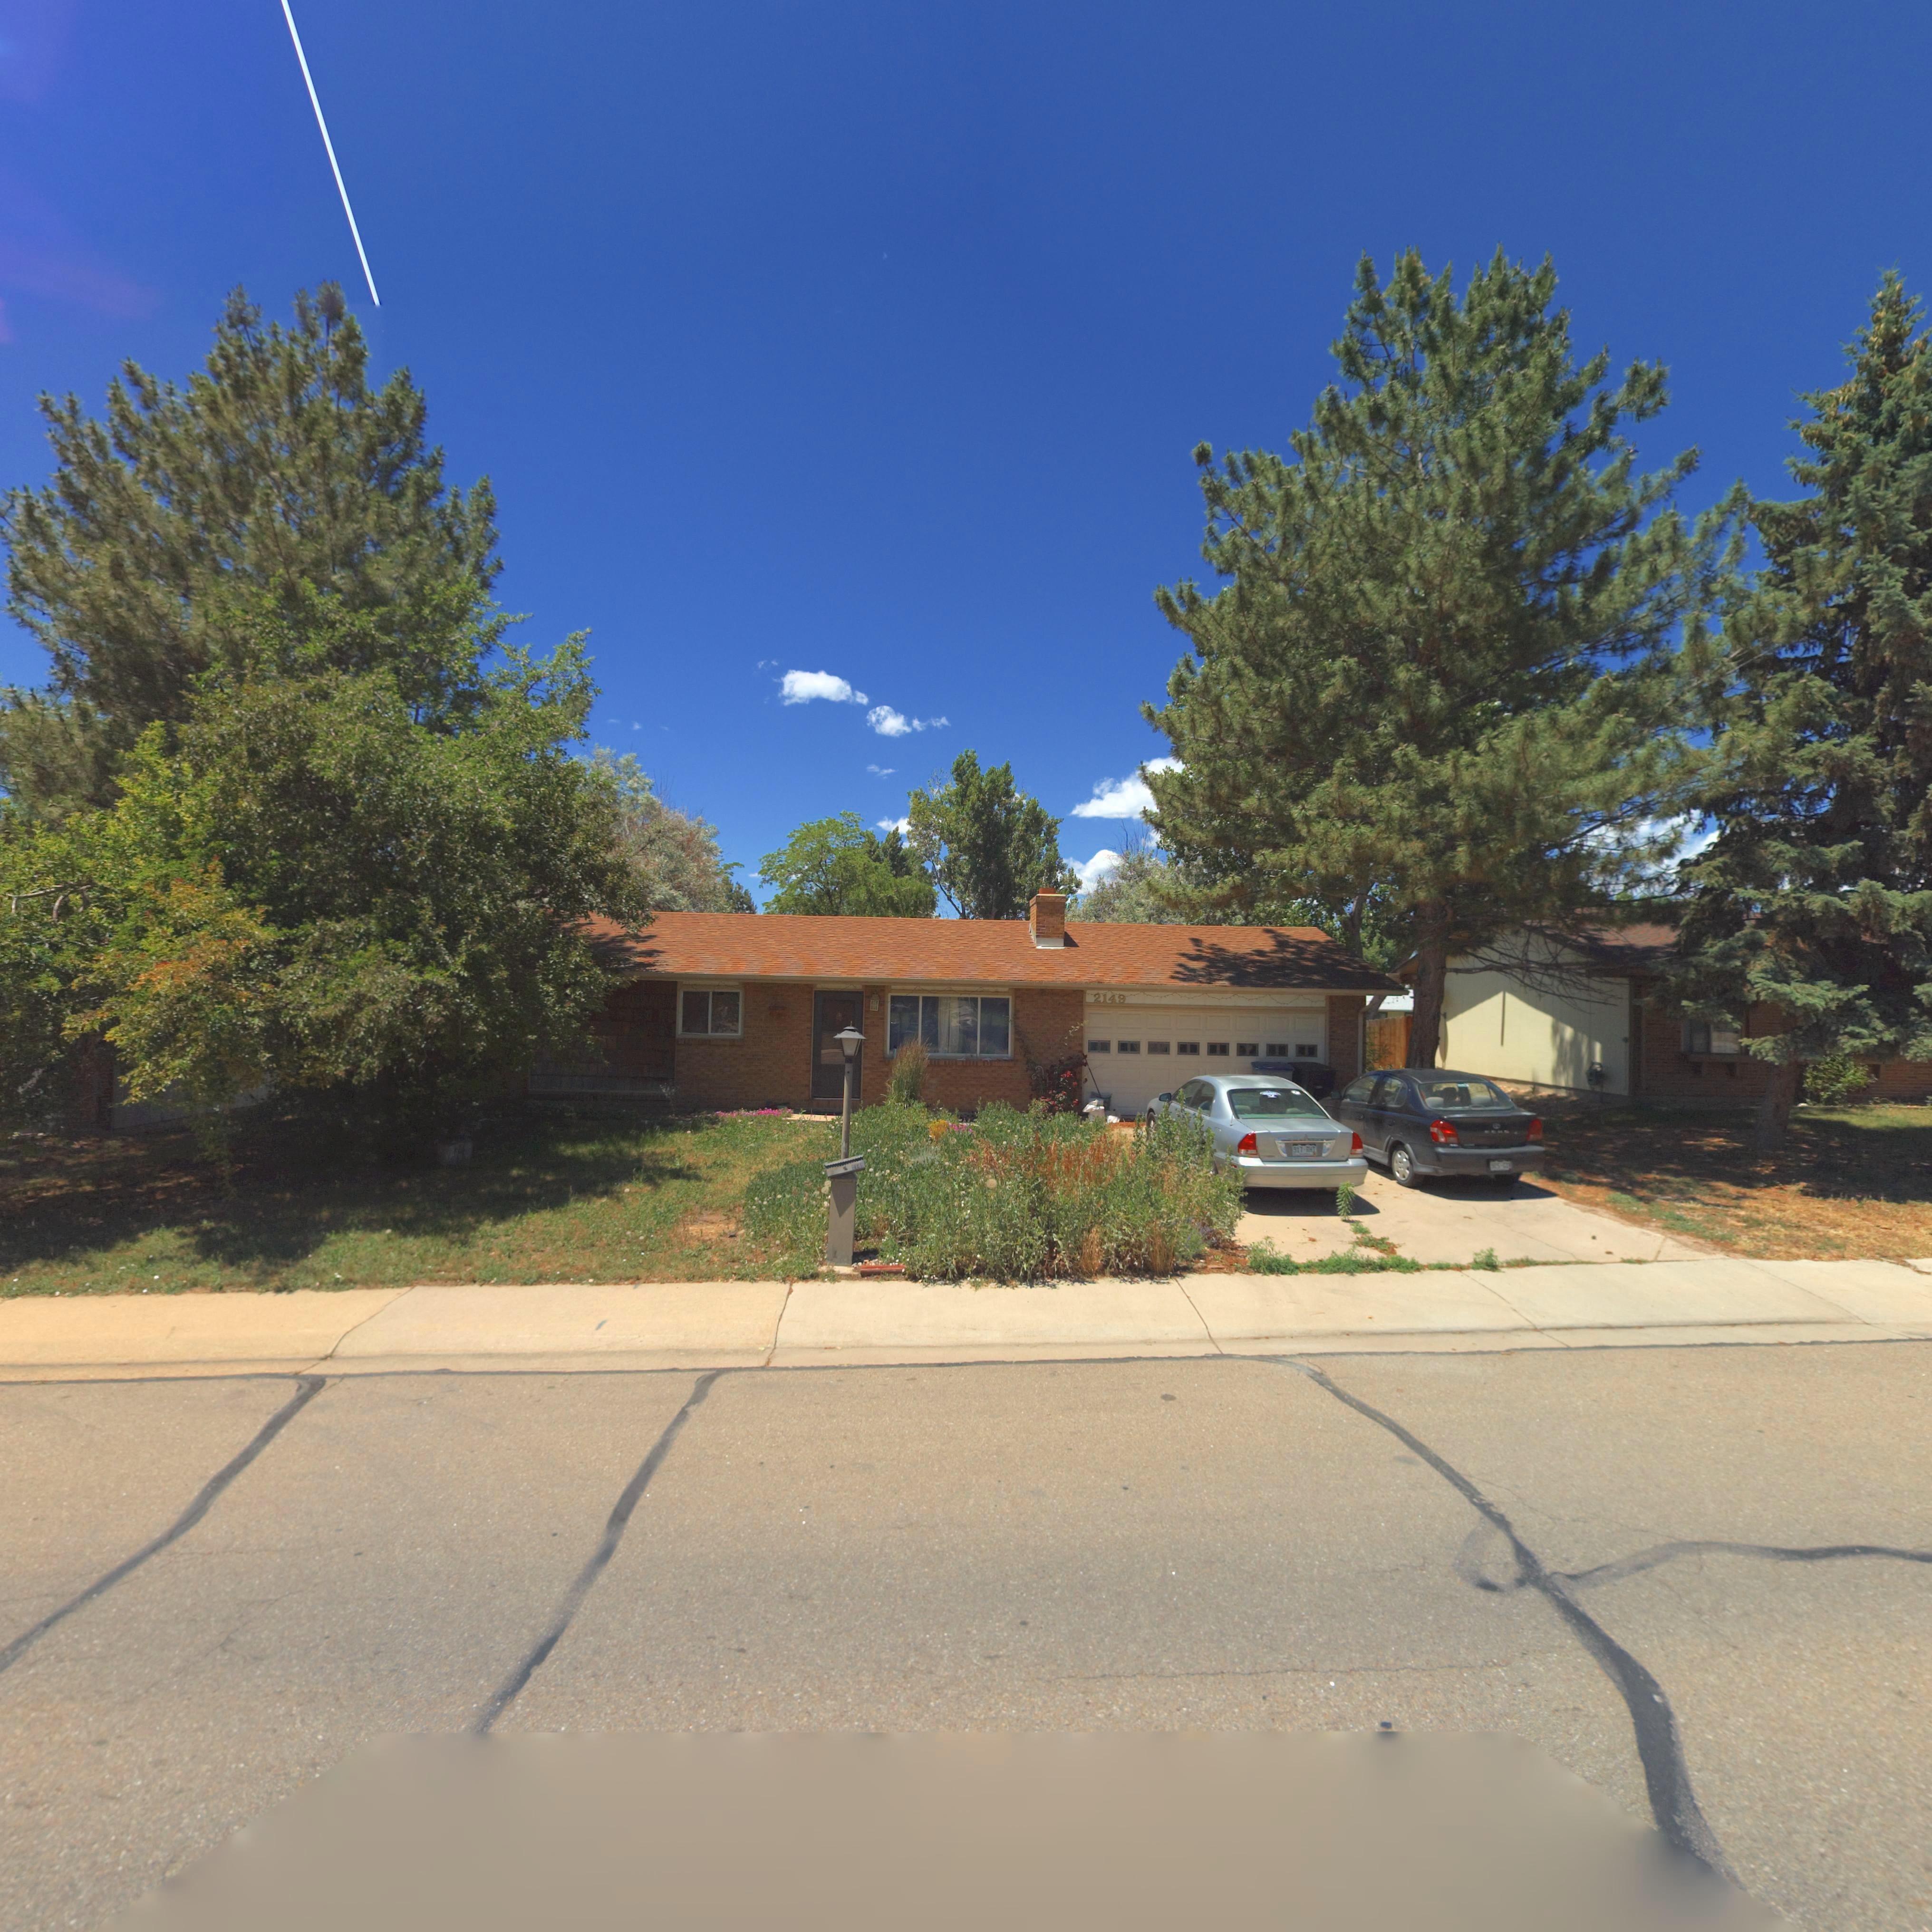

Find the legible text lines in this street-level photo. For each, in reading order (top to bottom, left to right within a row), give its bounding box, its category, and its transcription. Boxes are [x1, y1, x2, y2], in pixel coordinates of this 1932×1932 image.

[1091, 992, 1128, 1004] StreetNumber: 2149